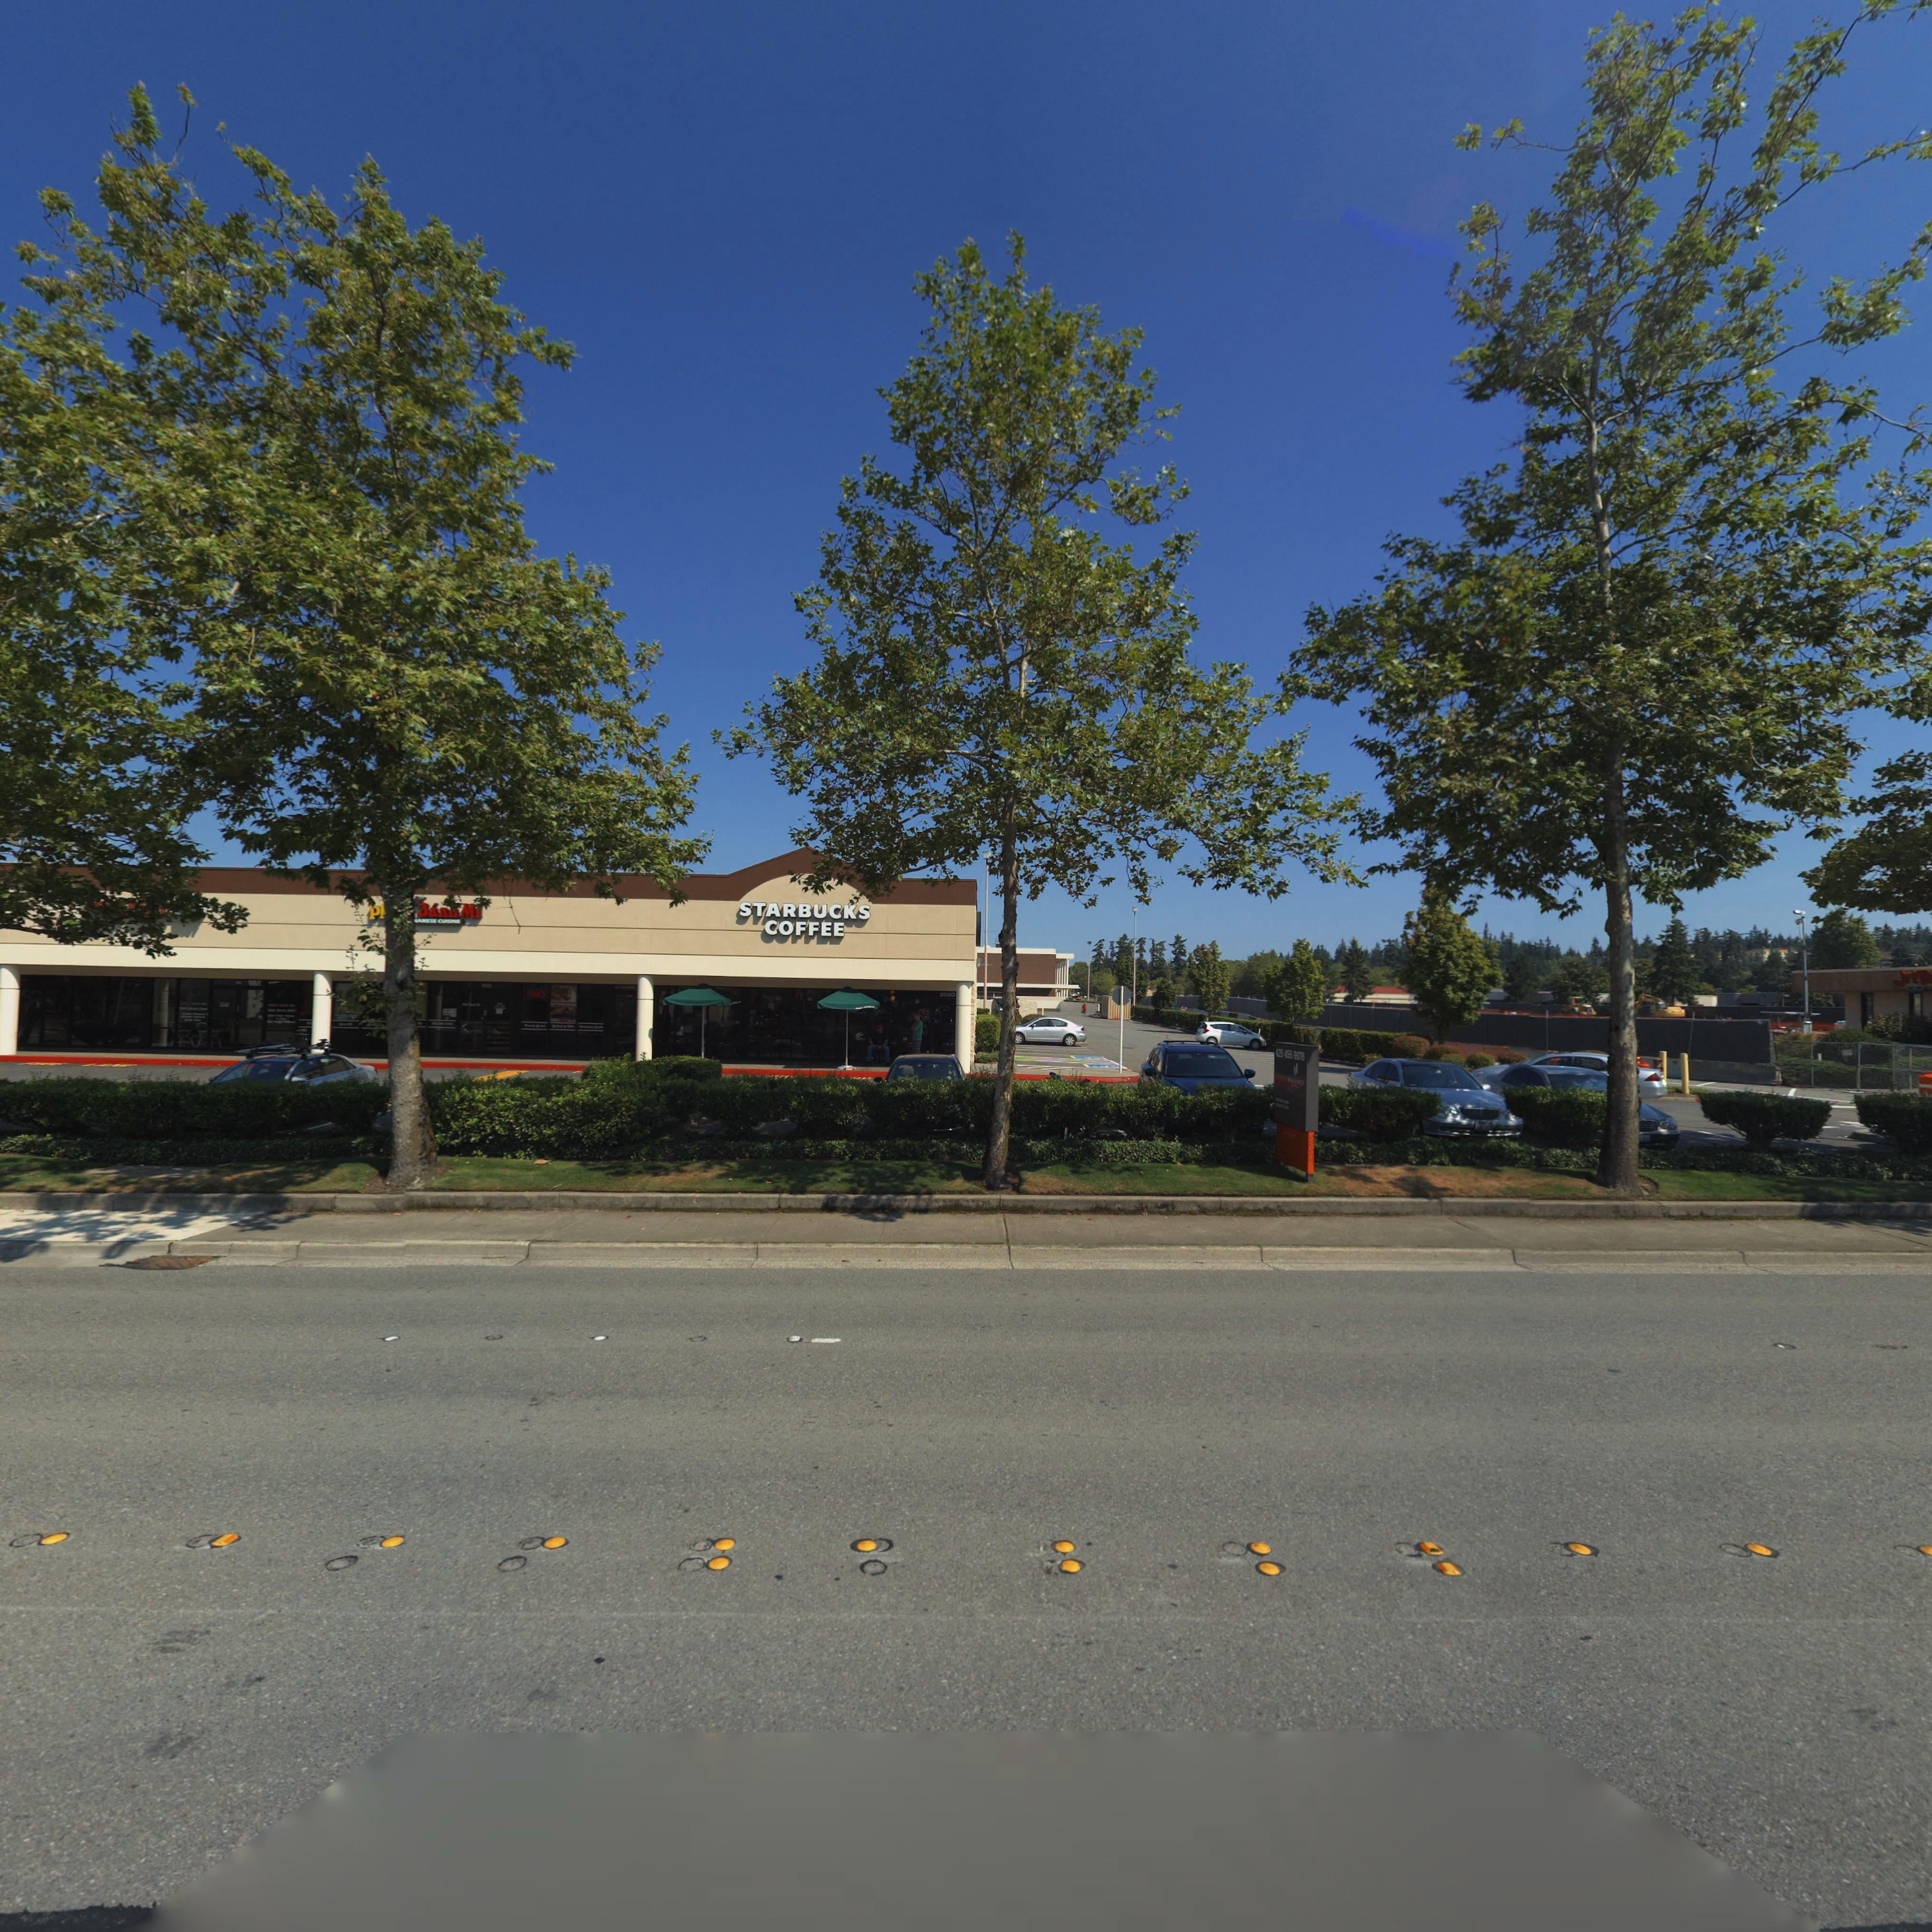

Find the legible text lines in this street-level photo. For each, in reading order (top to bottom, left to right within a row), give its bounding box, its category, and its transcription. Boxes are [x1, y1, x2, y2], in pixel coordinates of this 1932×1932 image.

[739, 901, 871, 920] BusinessName: STARBUCKS
[763, 919, 845, 937] BusinessName: COFFEE
[939, 992, 956, 997] StreetNumber: 2020